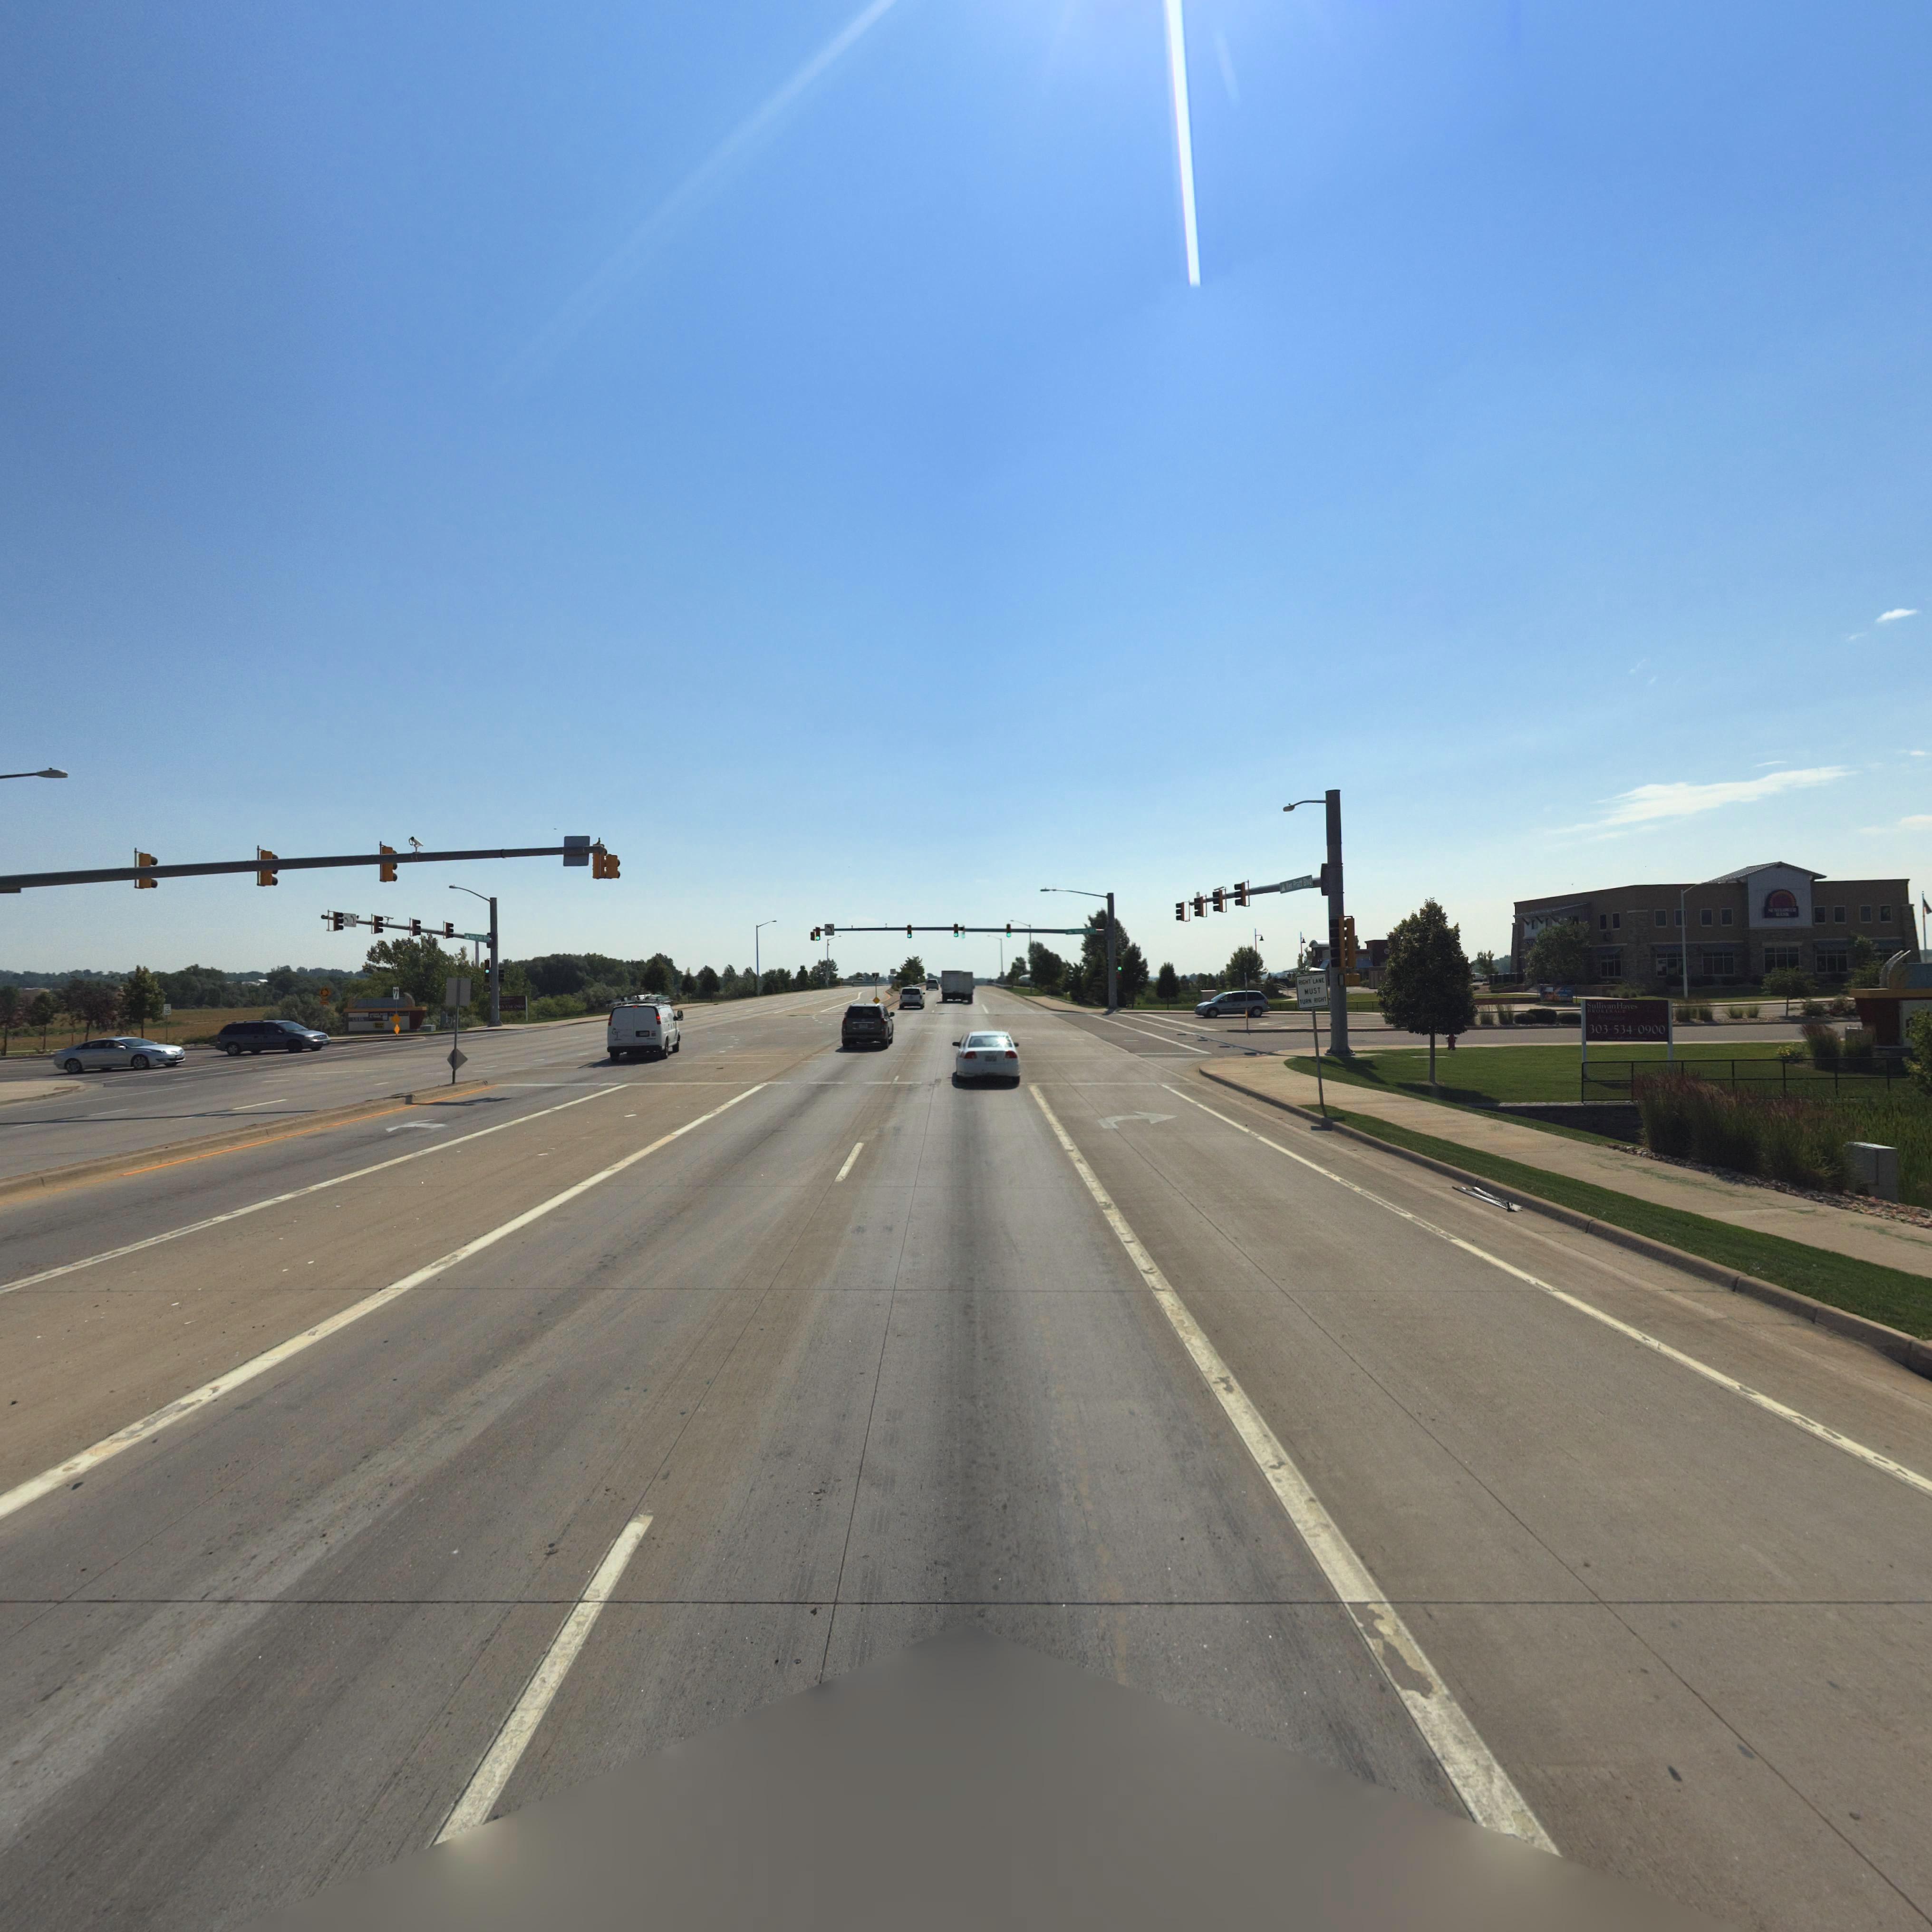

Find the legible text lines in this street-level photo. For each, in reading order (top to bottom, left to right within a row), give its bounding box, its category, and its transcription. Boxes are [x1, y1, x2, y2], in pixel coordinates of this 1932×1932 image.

[1285, 877, 1312, 890] StreetName: *e* Pratt B*vd
[469, 934, 489, 941] StreetName: *** P**** ***d